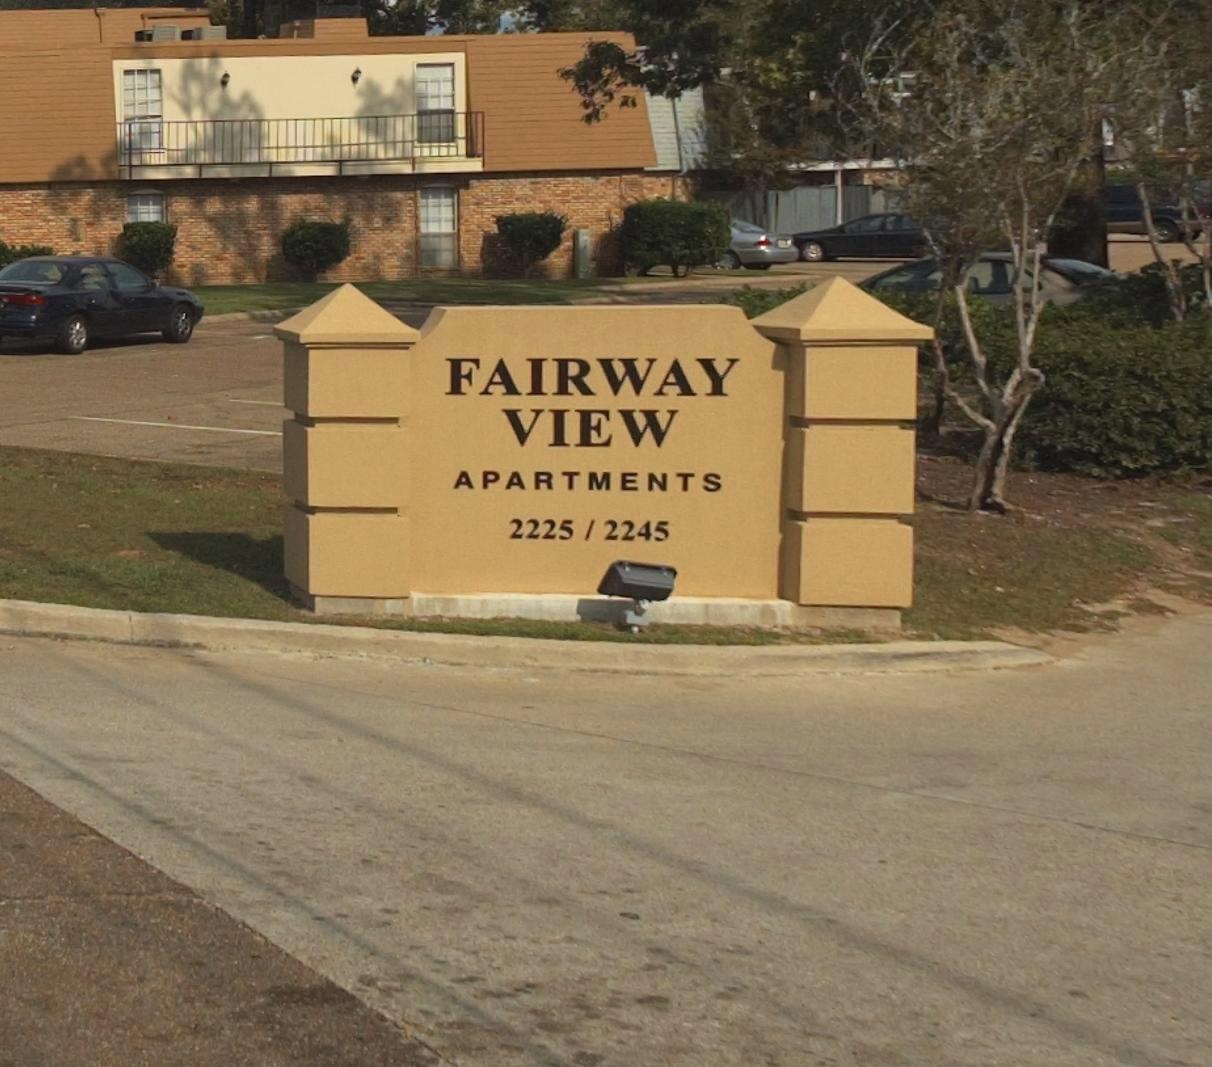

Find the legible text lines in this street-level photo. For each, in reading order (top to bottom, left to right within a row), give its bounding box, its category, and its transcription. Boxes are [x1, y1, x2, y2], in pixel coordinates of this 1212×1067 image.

[442, 353, 742, 400] BusinessName: FAIRWAY
[497, 405, 678, 450] BusinessName: VIEW
[450, 465, 726, 496] BusinessName: APARTMENTS
[505, 515, 672, 547] StreetNumberRange: 2225 / 2245